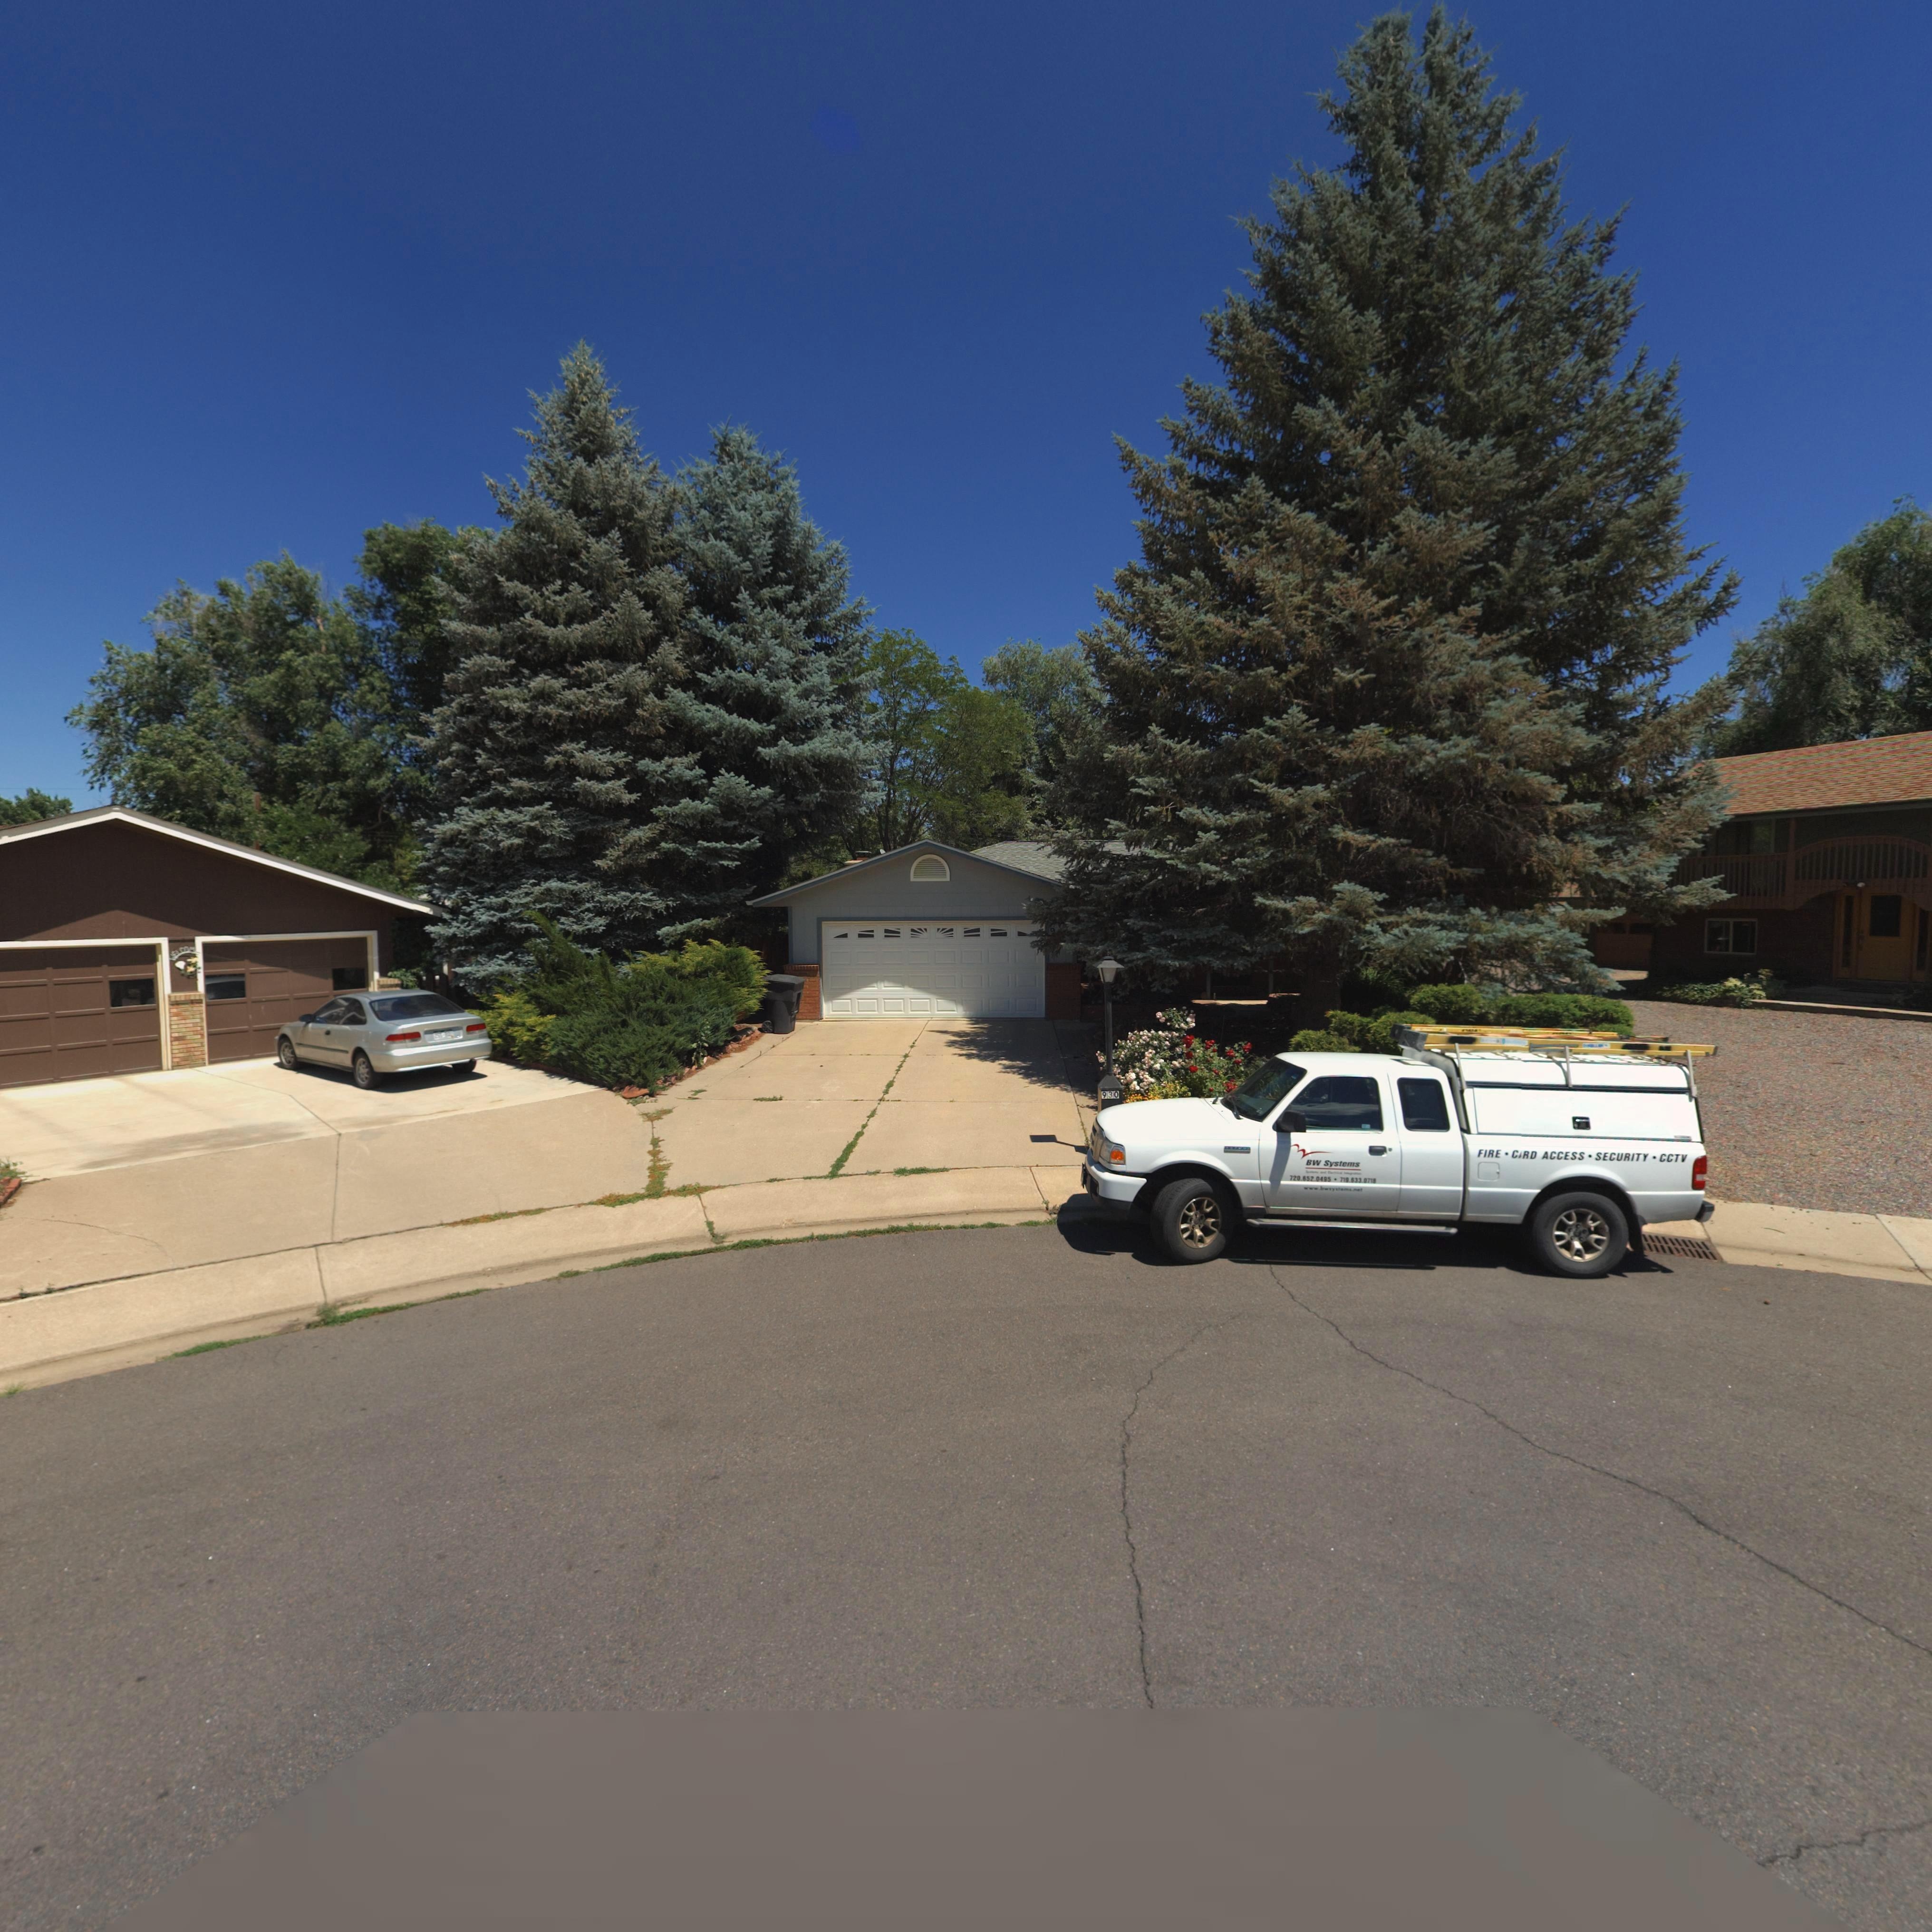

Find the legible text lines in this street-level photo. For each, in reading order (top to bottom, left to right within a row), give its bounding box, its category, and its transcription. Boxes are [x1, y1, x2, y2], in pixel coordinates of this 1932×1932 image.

[1050, 927, 1055, 935] StreetNumber: 9
[1102, 1091, 1119, 1098] StreetNumber: 930